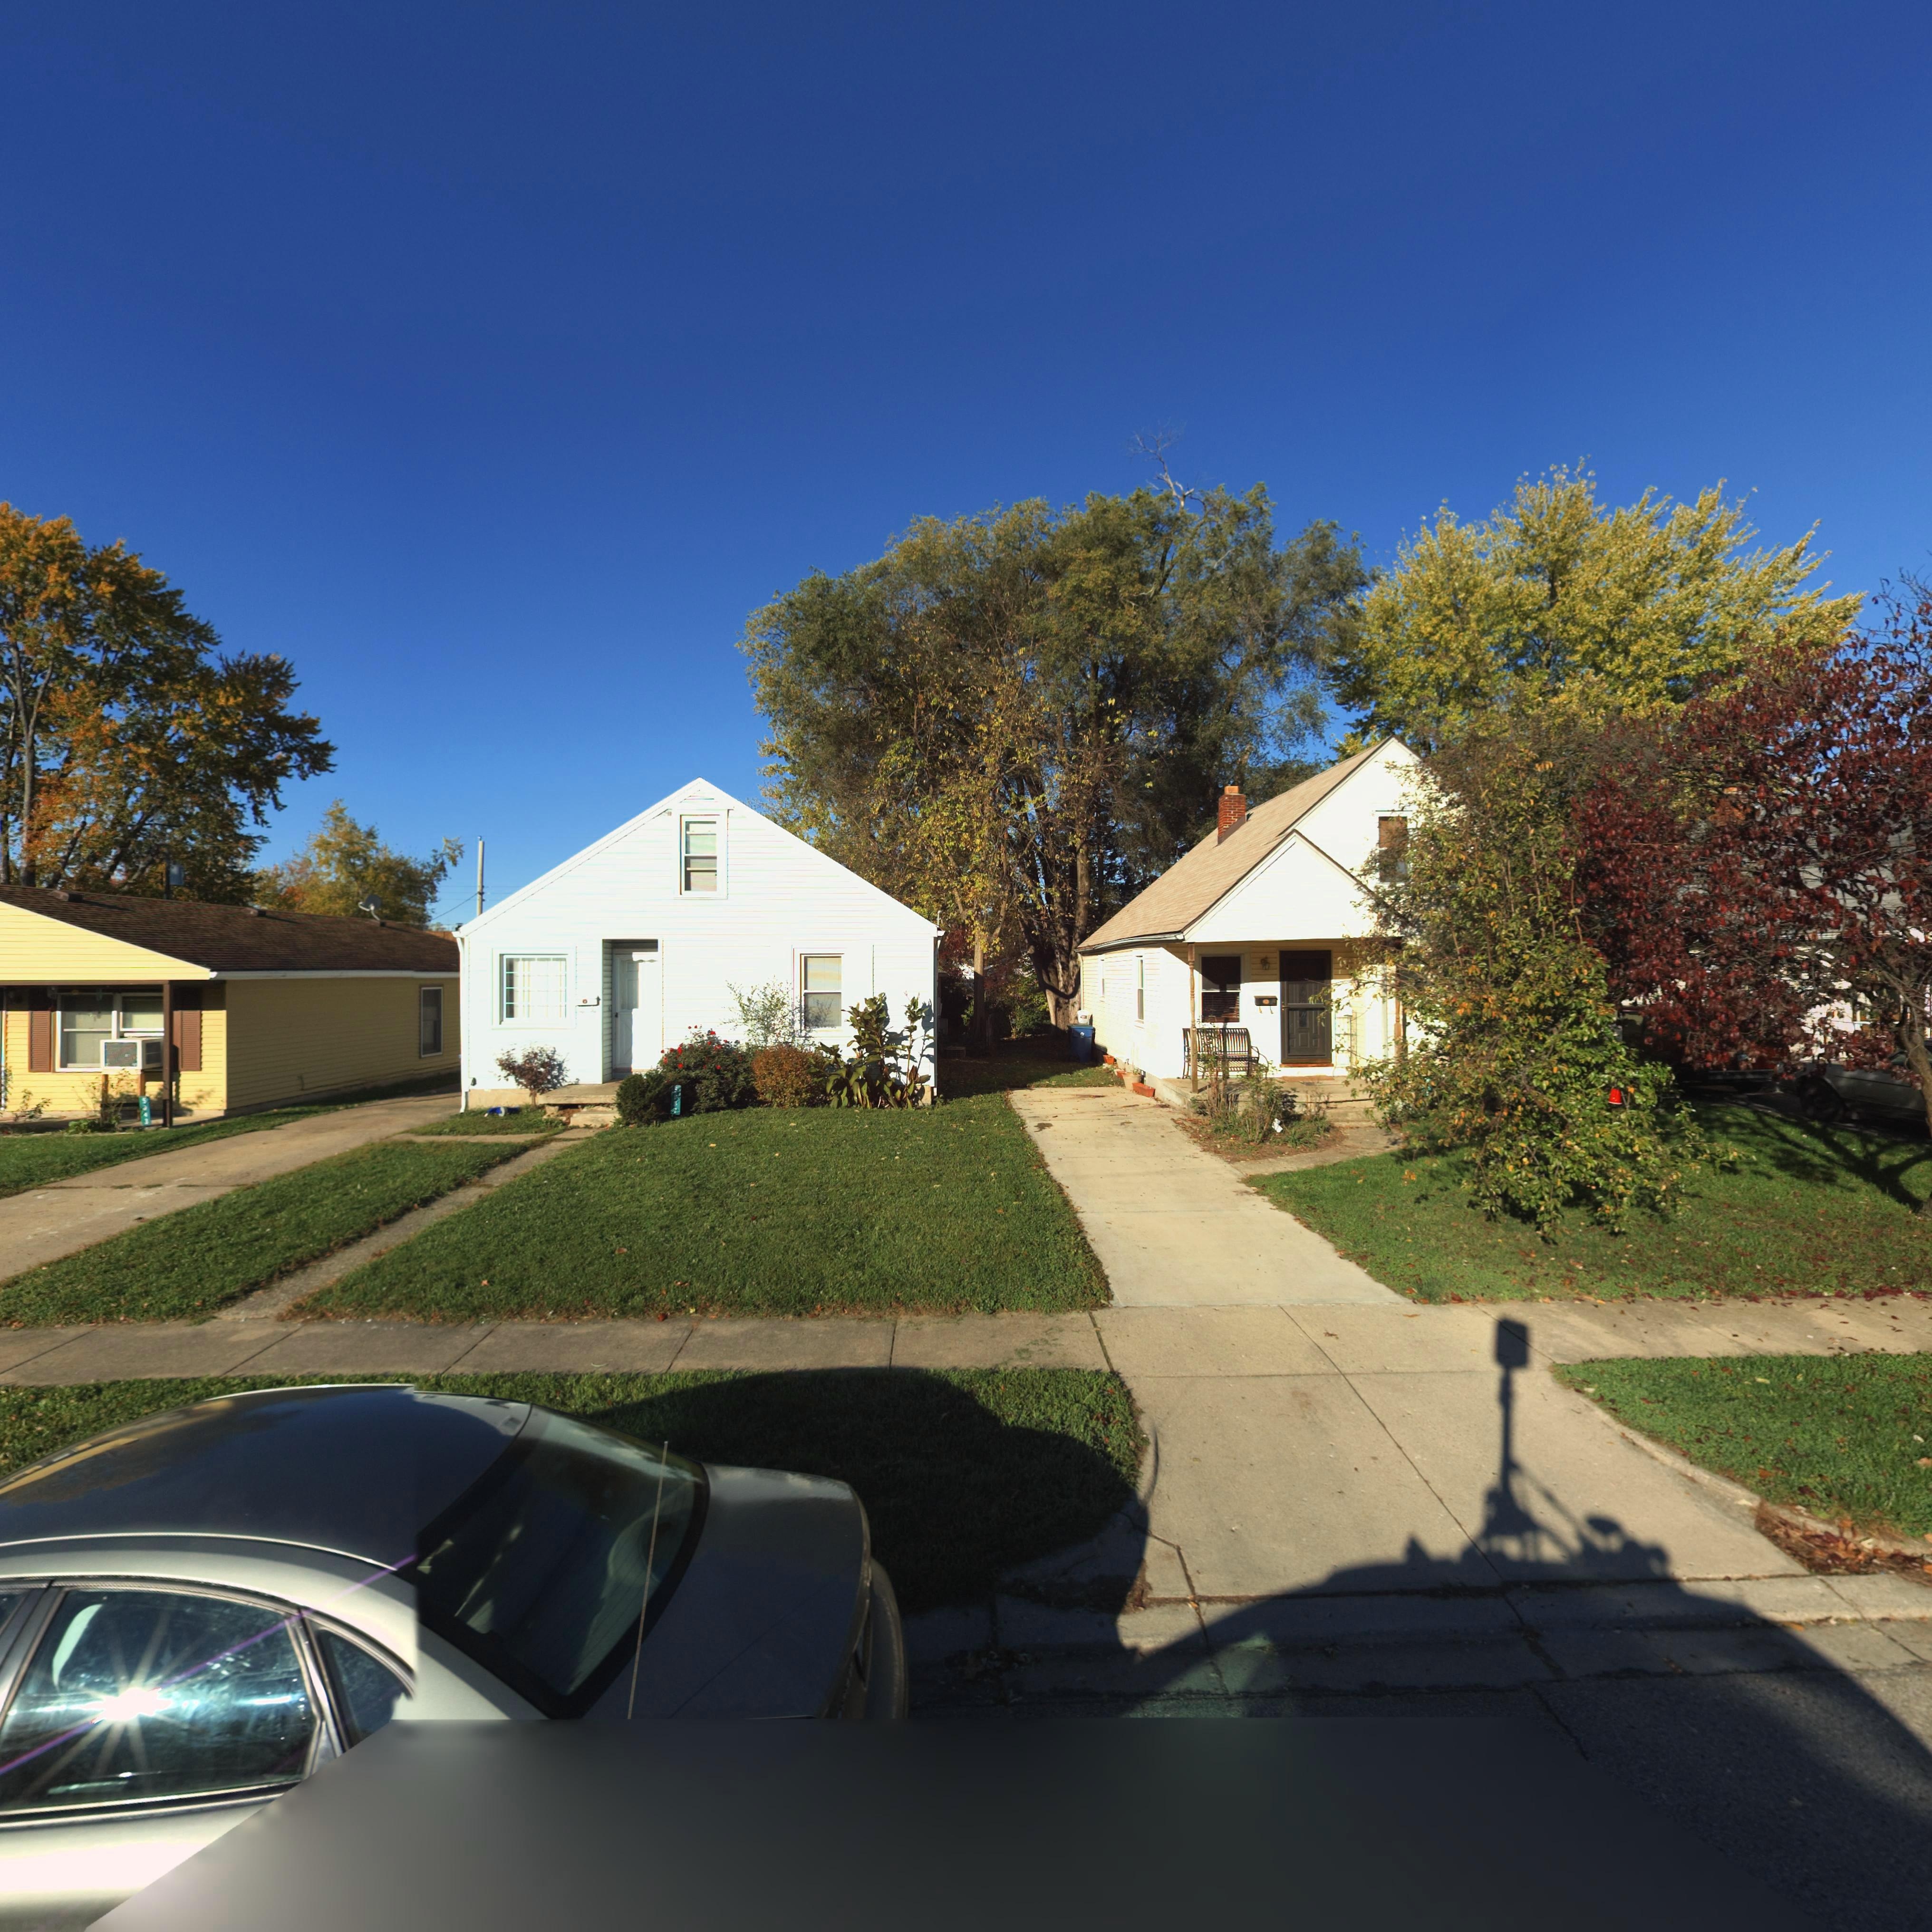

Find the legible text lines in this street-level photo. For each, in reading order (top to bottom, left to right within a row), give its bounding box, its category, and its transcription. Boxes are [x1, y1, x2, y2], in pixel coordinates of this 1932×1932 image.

[672, 1101, 678, 1114] StreetNumber: 37